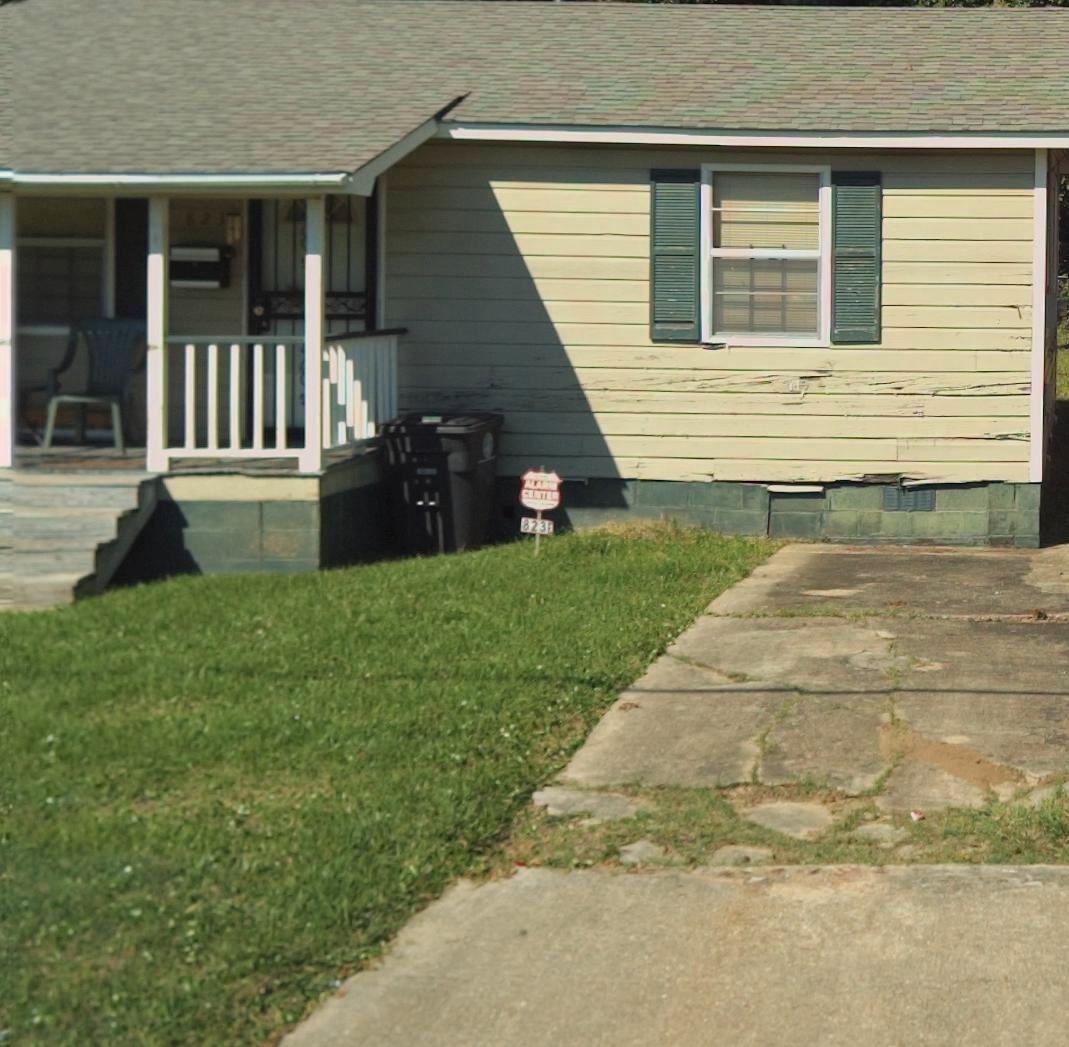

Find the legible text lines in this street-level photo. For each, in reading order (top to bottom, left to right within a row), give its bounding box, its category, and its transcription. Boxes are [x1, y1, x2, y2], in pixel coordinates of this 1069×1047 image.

[184, 209, 228, 229] StreetNumber: 823
[521, 518, 554, 535] StreetNumber: 823*